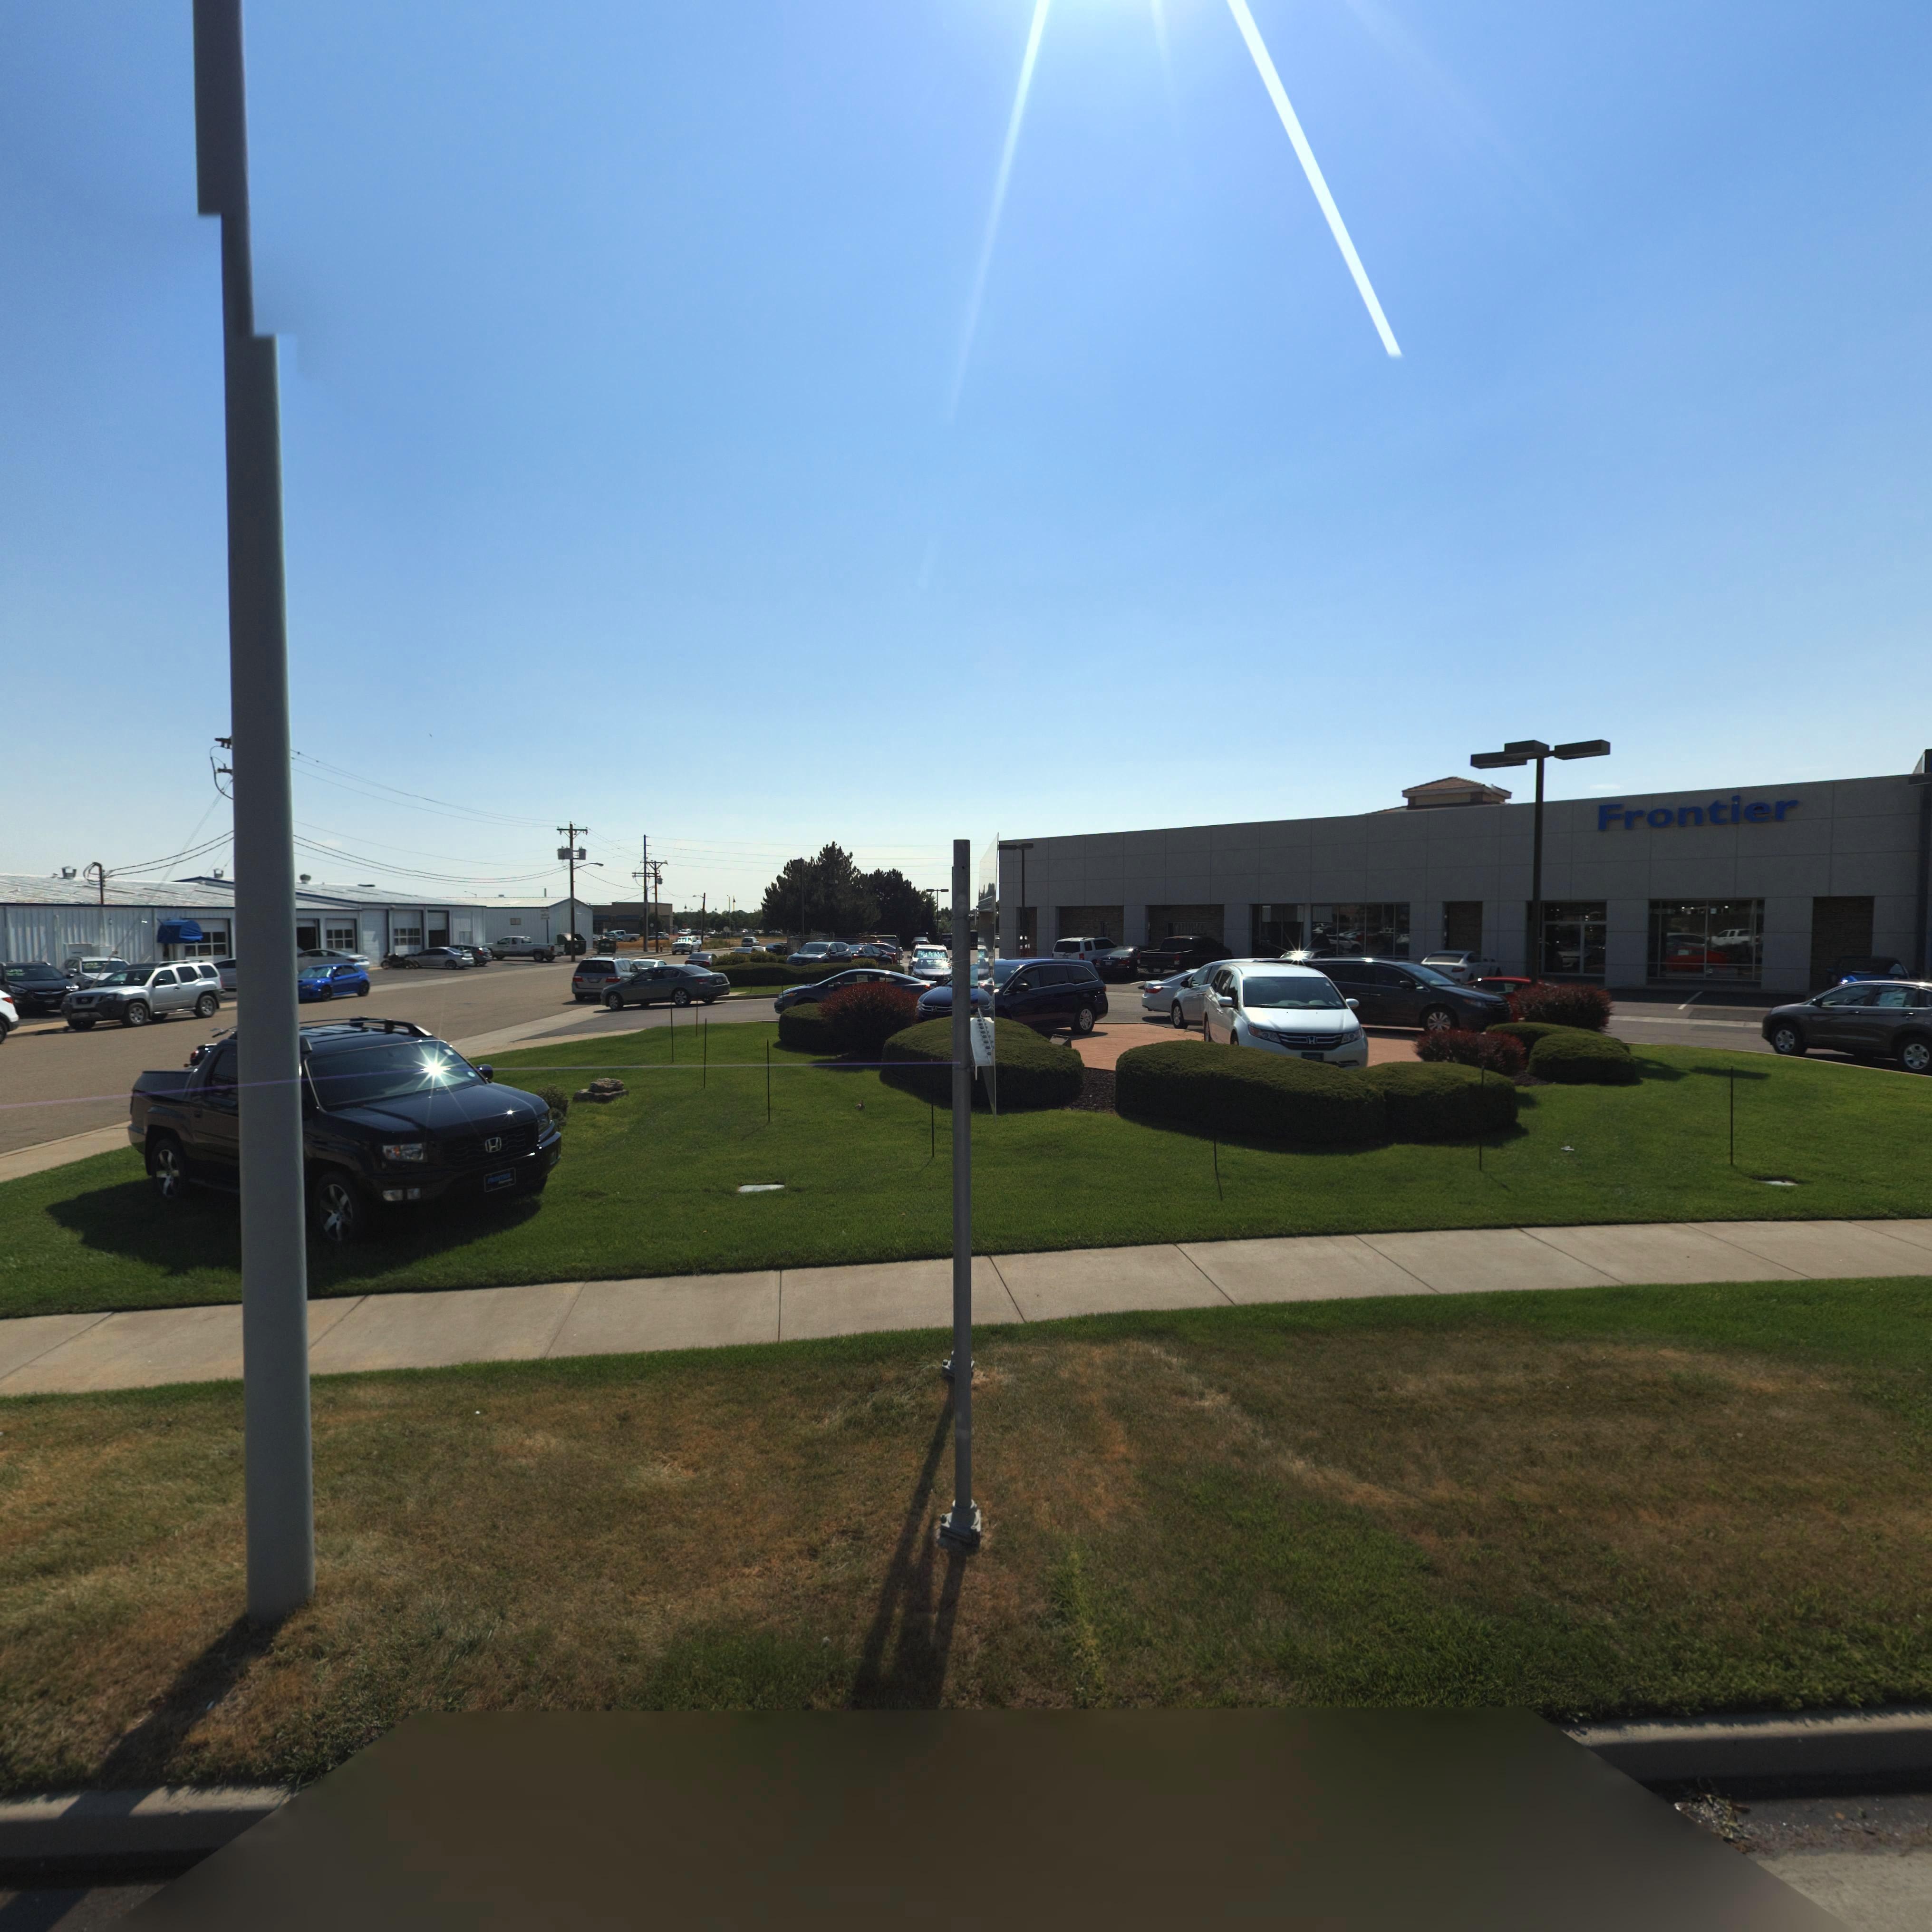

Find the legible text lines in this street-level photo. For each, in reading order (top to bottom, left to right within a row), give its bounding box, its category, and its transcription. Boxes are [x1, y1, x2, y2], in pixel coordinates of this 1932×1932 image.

[1596, 793, 1800, 831] BusinessName: Frontier